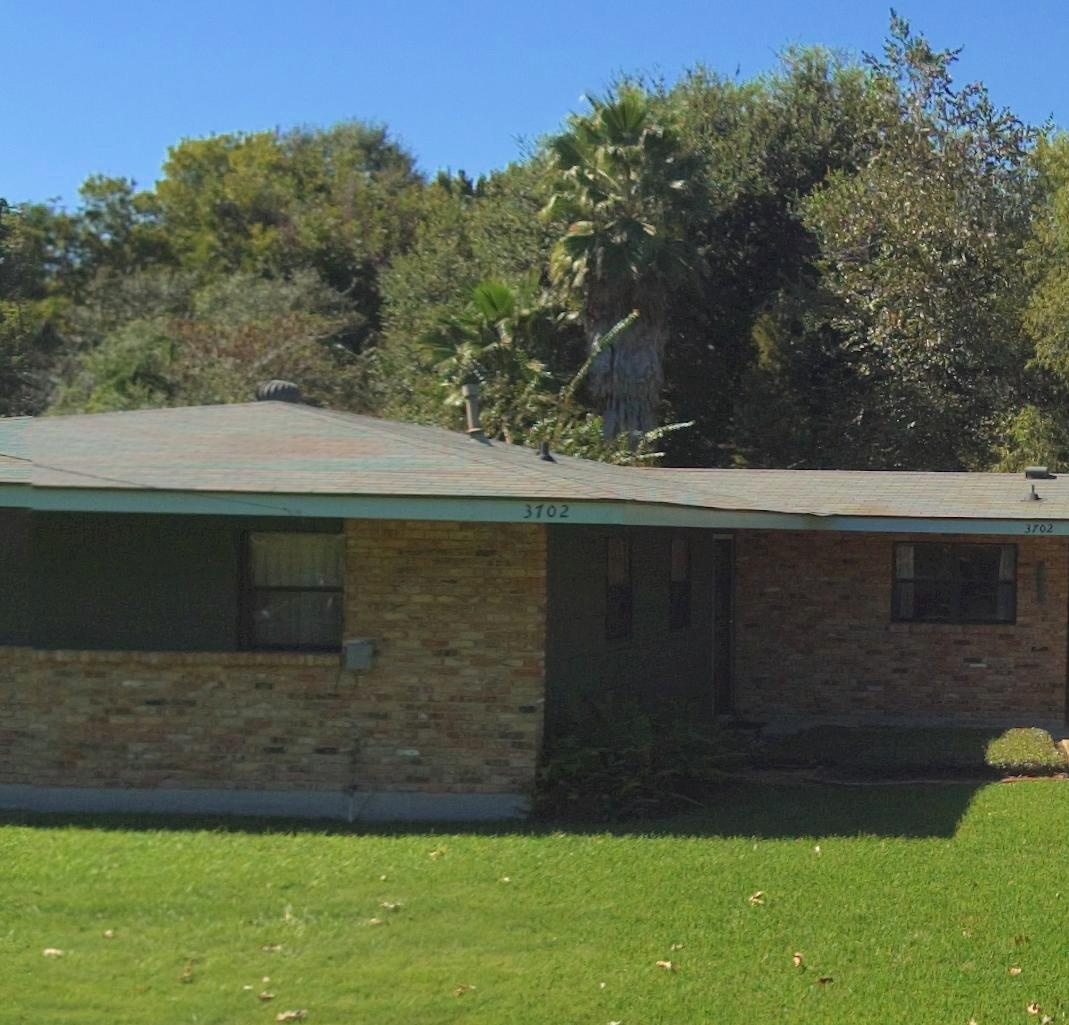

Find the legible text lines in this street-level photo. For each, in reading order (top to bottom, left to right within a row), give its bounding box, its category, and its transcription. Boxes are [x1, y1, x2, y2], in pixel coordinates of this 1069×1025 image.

[521, 501, 571, 521] StreetNumber: 3702